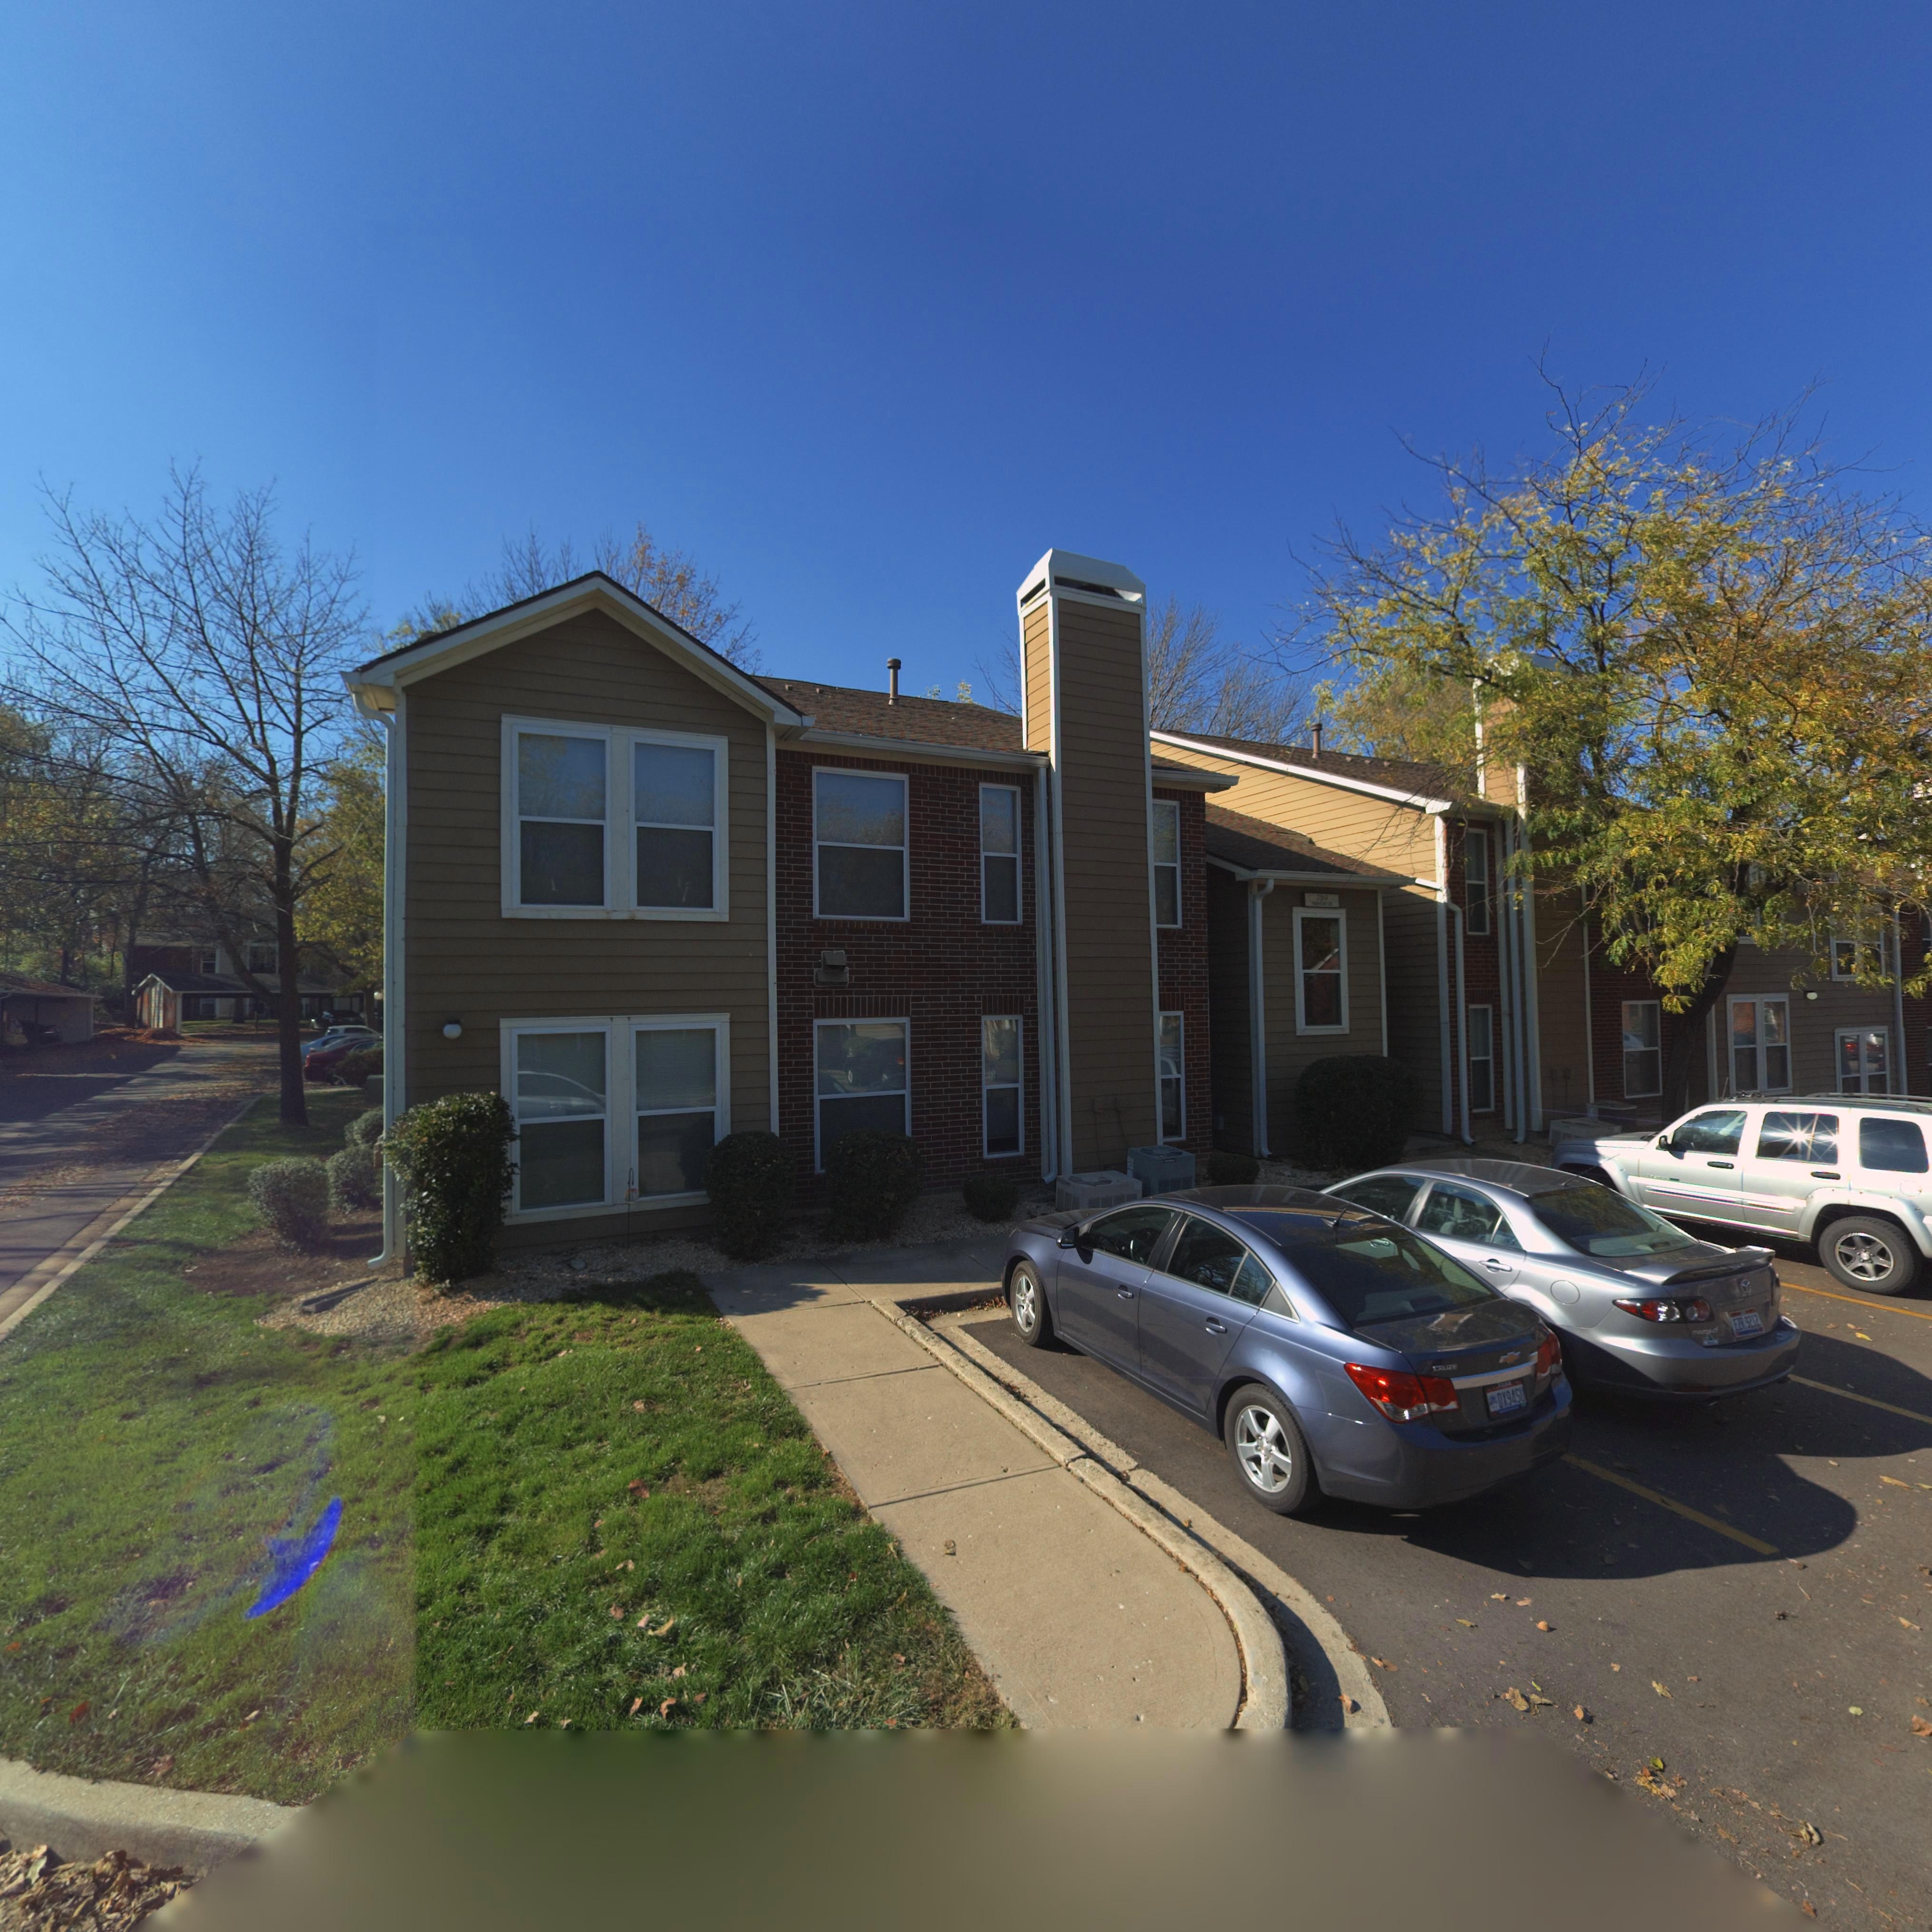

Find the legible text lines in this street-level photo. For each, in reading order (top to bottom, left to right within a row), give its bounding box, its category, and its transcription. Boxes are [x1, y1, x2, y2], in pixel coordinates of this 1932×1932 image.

[1315, 894, 1329, 902] StreetNumber: 789
[1732, 1313, 1762, 1332] None: EZR*9212
[1691, 1325, 1719, 1335] None: maz**6
[1432, 1363, 1458, 1372] None: CRUZE
[1496, 1386, 1526, 1409] None: DX94SU